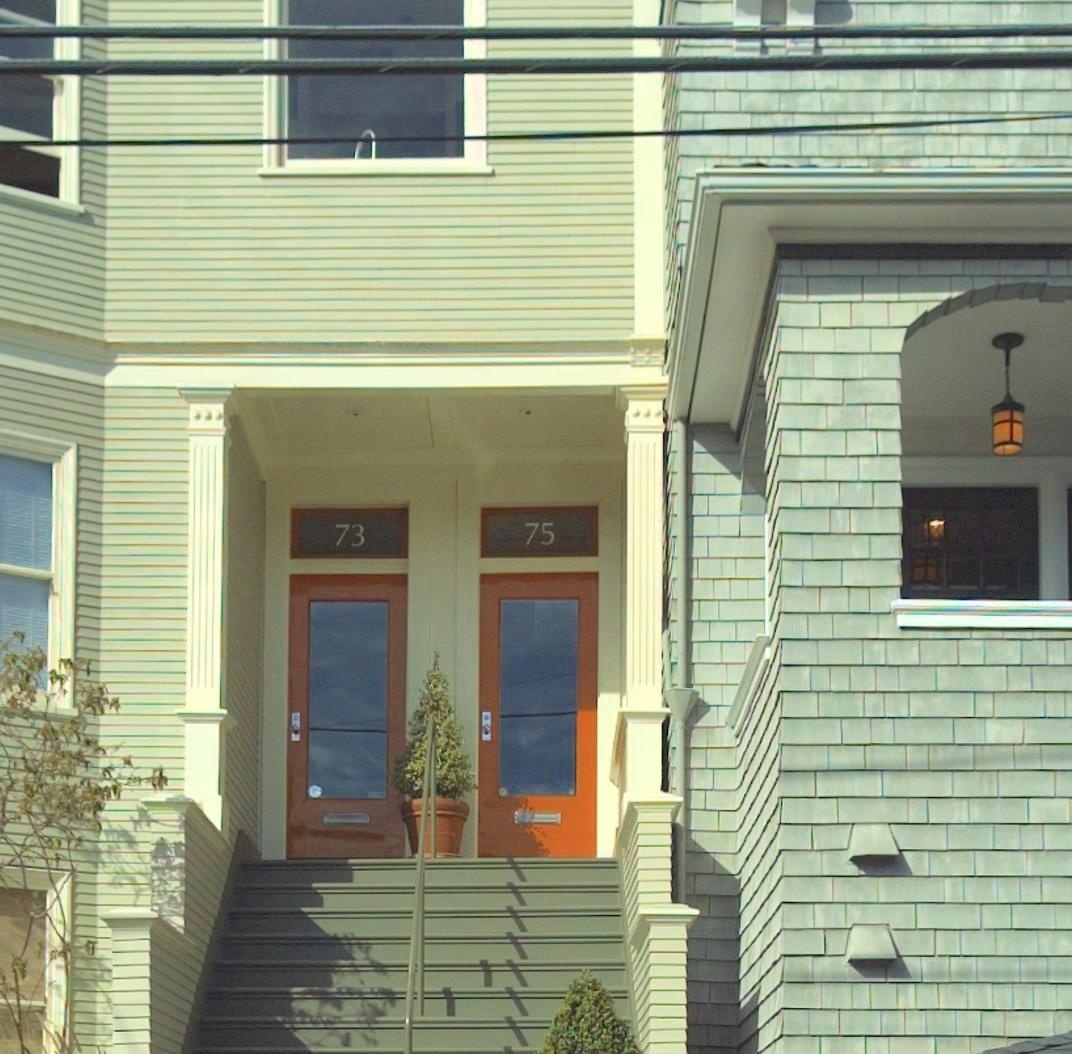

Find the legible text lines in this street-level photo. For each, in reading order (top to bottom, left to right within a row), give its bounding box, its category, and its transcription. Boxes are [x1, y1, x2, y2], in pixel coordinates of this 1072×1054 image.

[333, 523, 365, 548] StreetNumber: 73
[522, 521, 556, 546] StreetNumber: 75